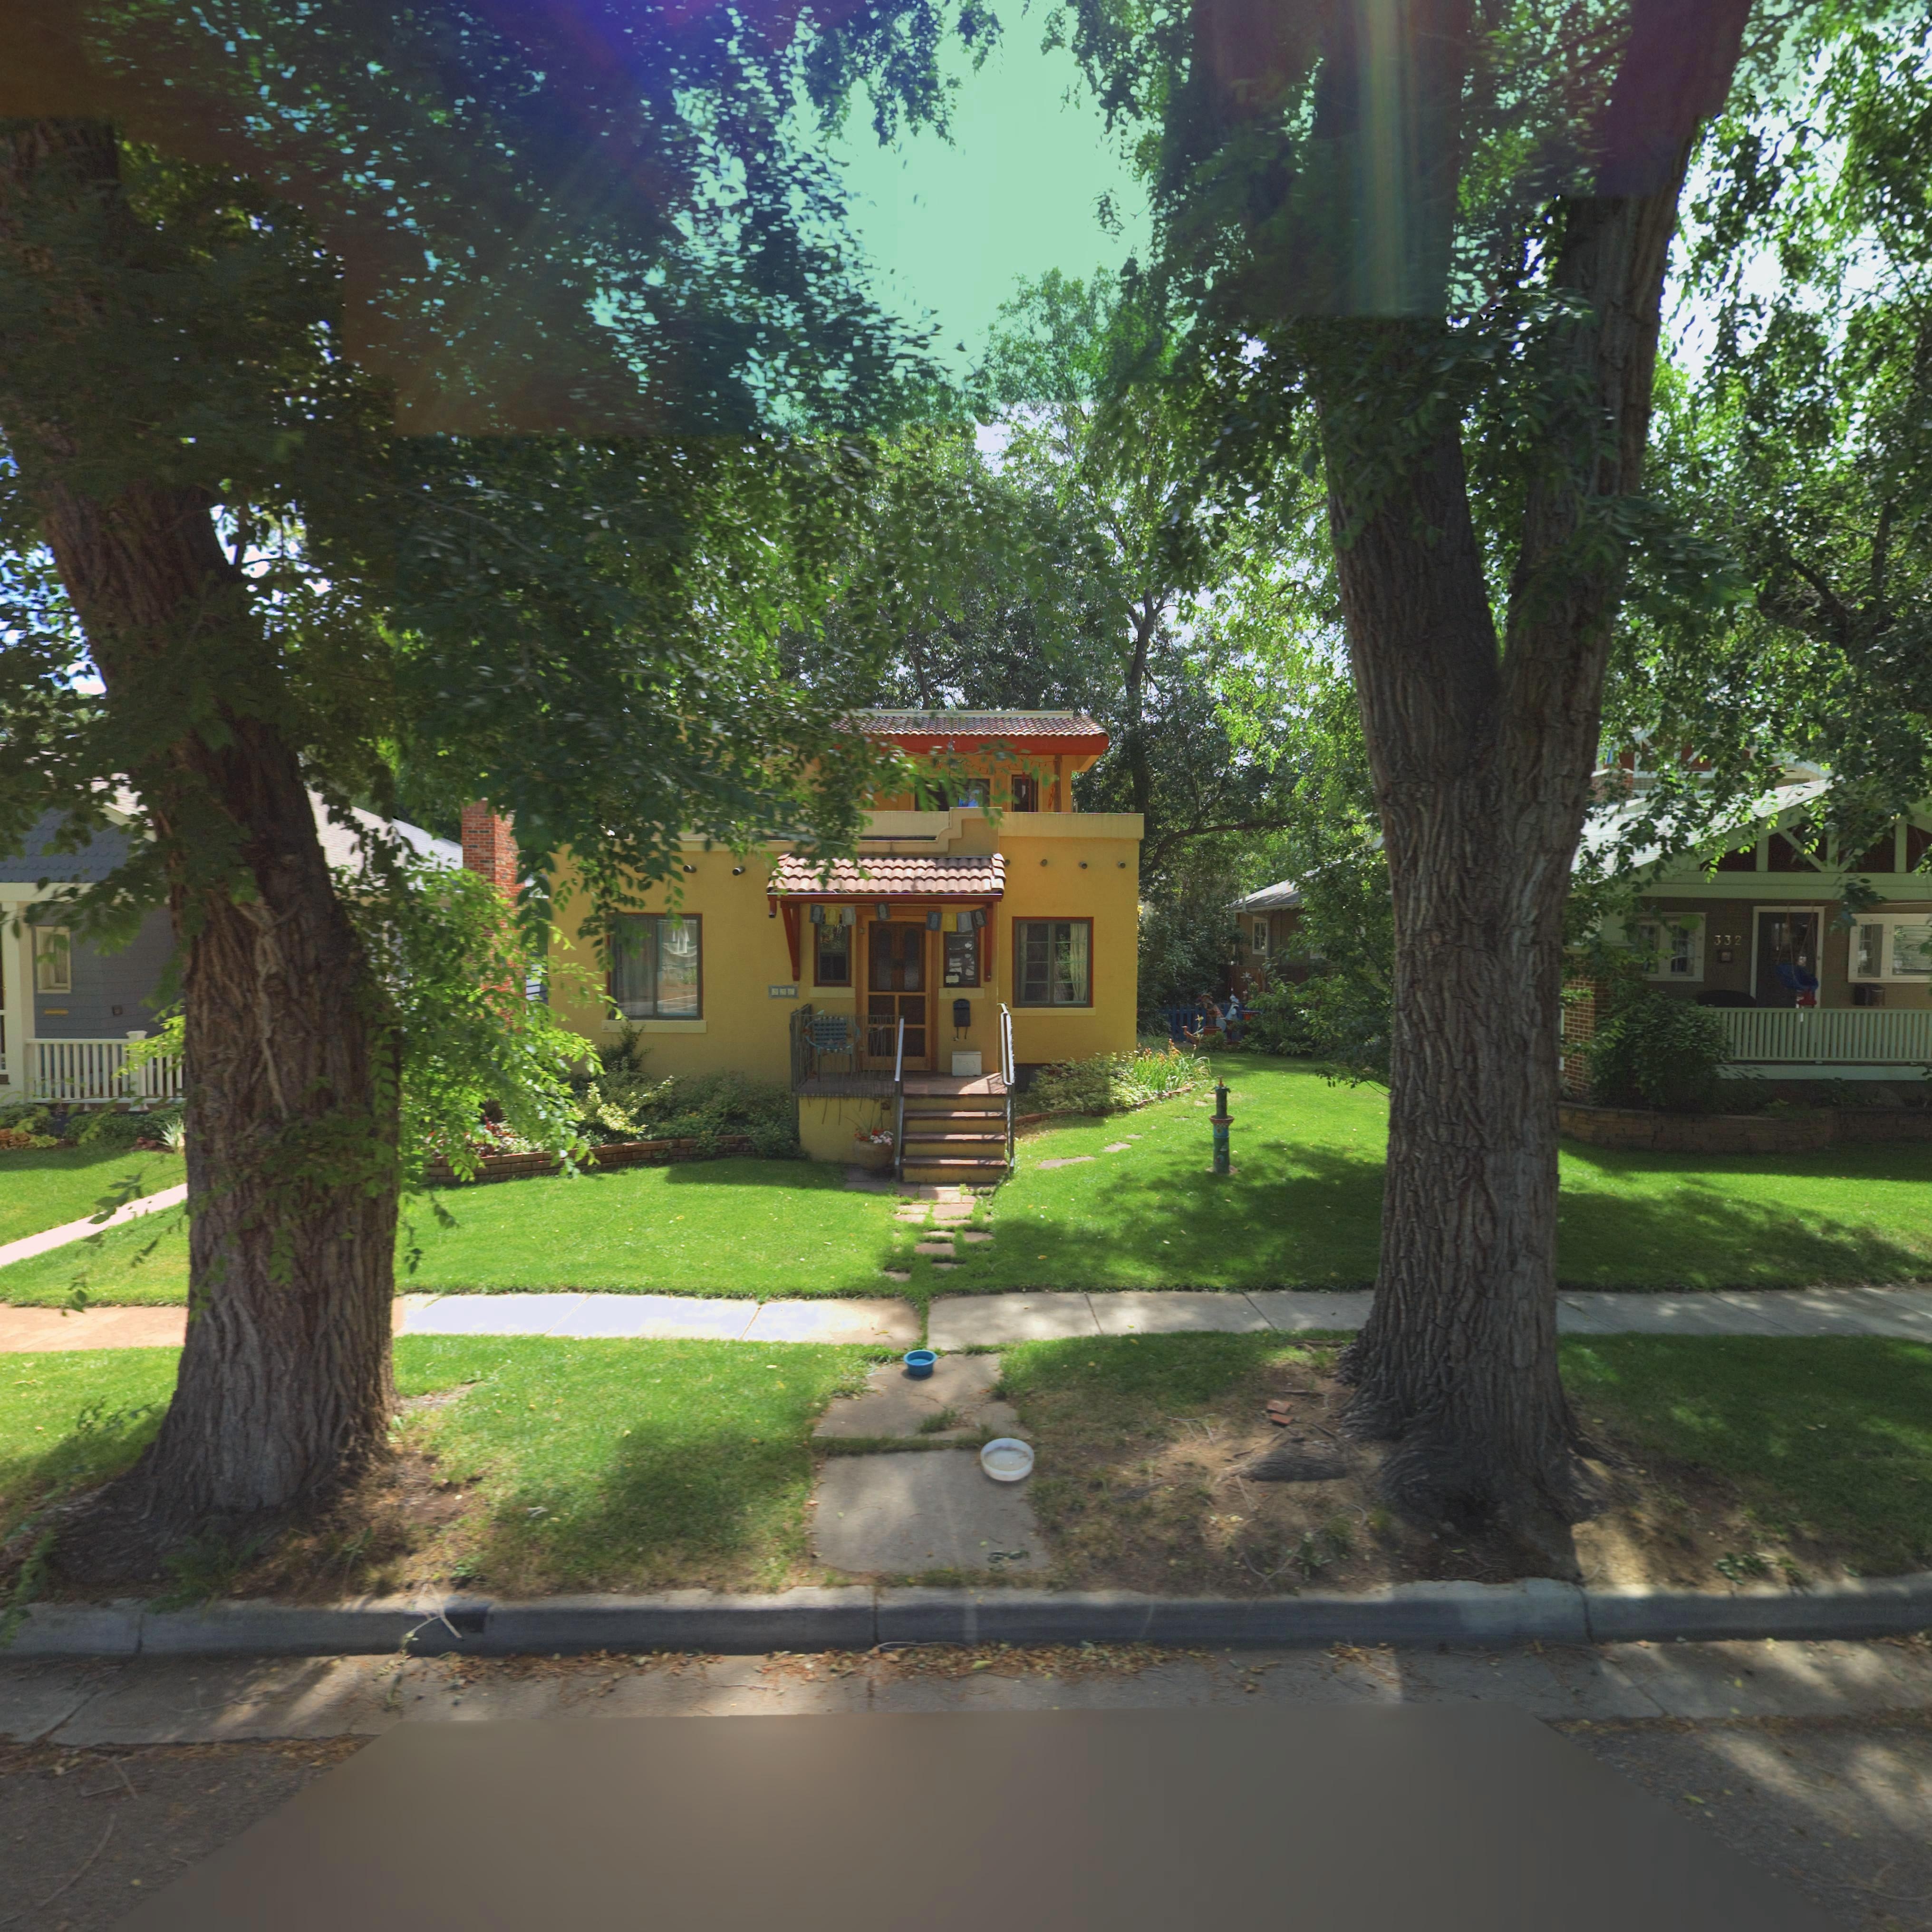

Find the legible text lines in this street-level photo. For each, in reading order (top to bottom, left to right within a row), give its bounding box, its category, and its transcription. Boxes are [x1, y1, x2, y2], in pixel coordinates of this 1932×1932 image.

[1713, 935, 1741, 946] StreetNumber: 332
[772, 988, 793, 994] StreetNumber: 336